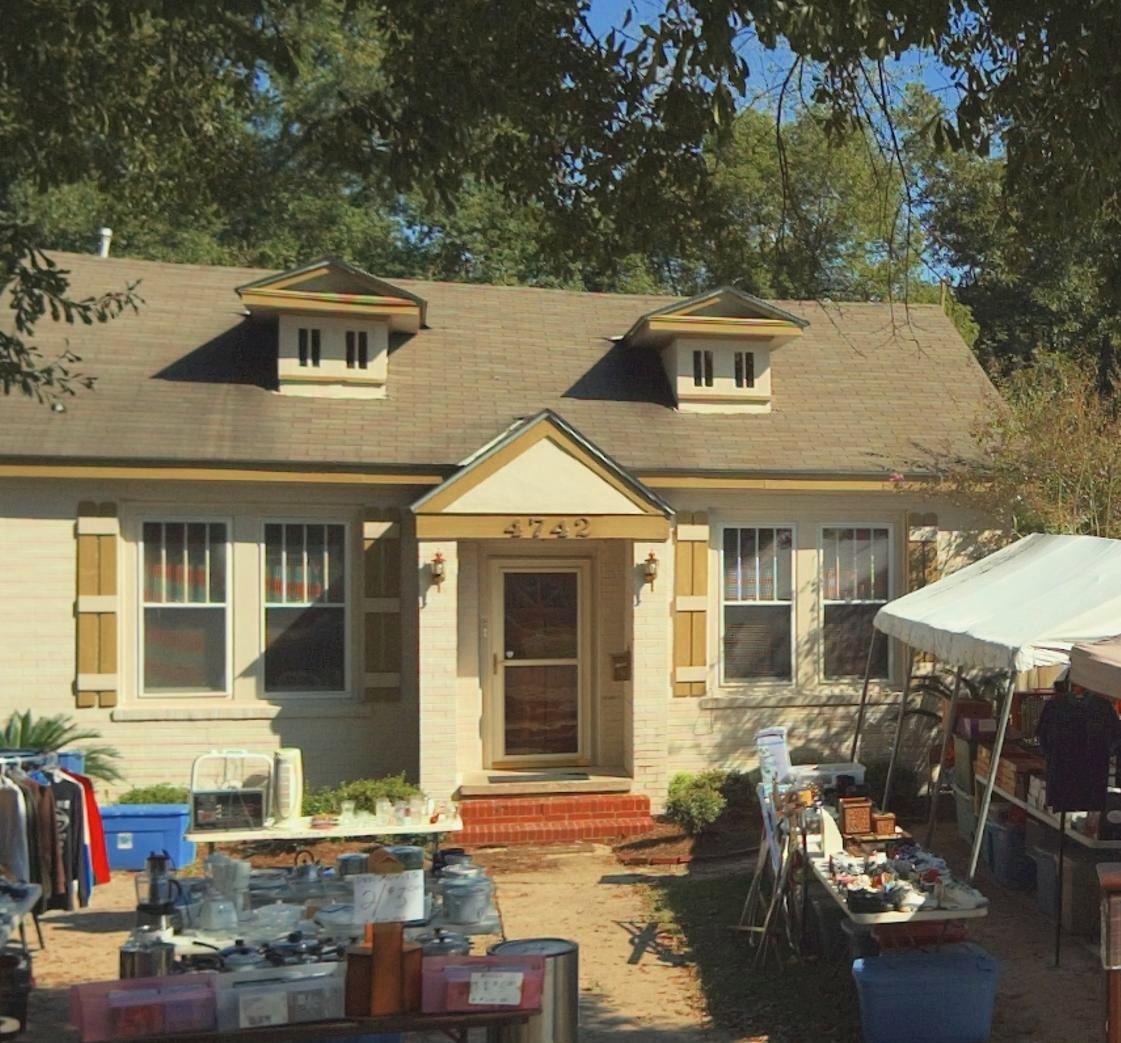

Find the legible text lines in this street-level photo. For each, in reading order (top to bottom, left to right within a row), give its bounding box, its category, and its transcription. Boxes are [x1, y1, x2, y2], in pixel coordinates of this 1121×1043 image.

[503, 516, 593, 539] StreetNumber: 4742
[357, 888, 378, 914] None: 2
[392, 886, 408, 911] None: 3